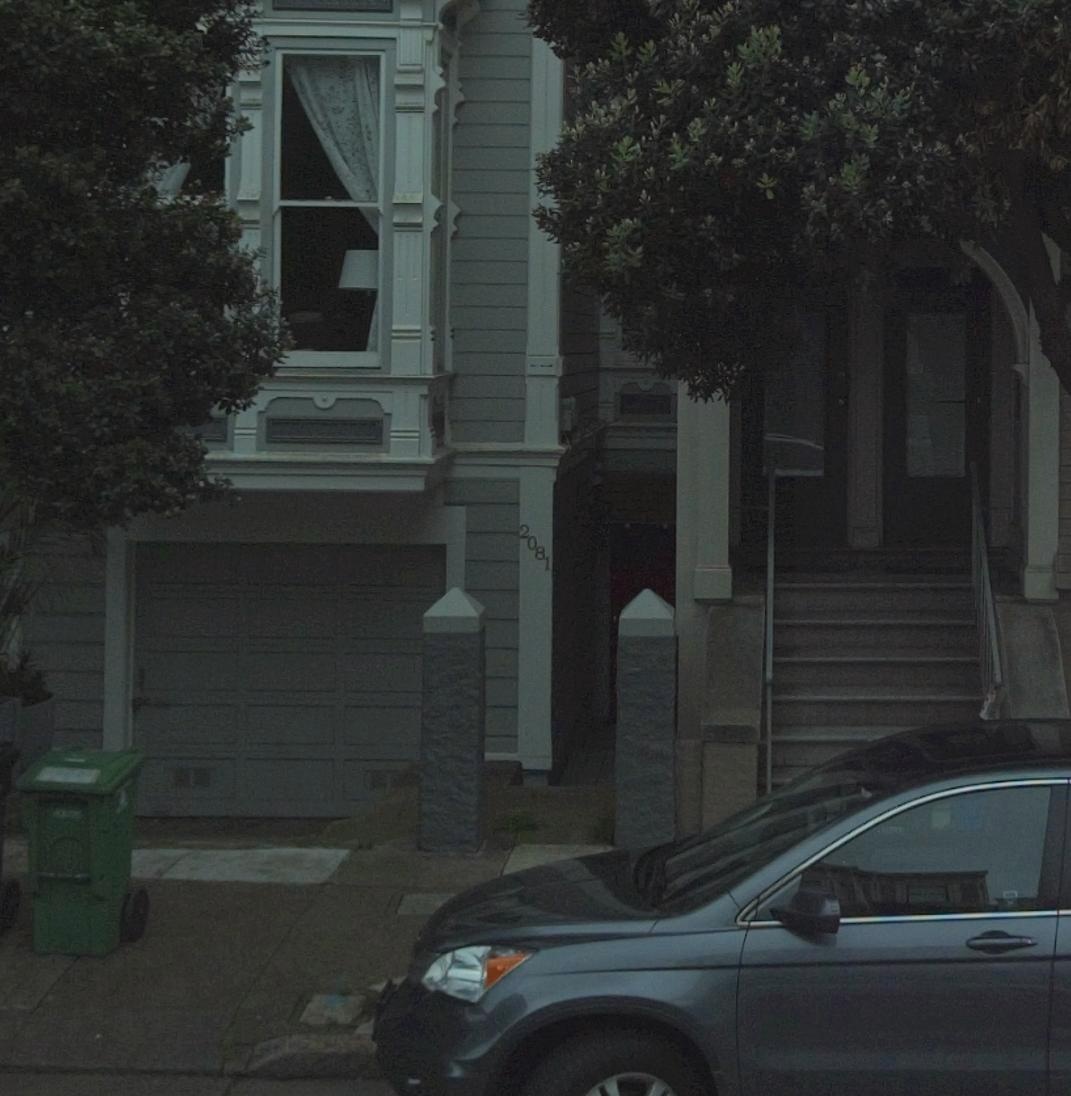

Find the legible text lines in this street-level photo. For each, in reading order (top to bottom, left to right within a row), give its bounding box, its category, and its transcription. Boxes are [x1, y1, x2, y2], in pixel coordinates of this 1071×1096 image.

[516, 519, 554, 577] StreetNumber: 2081